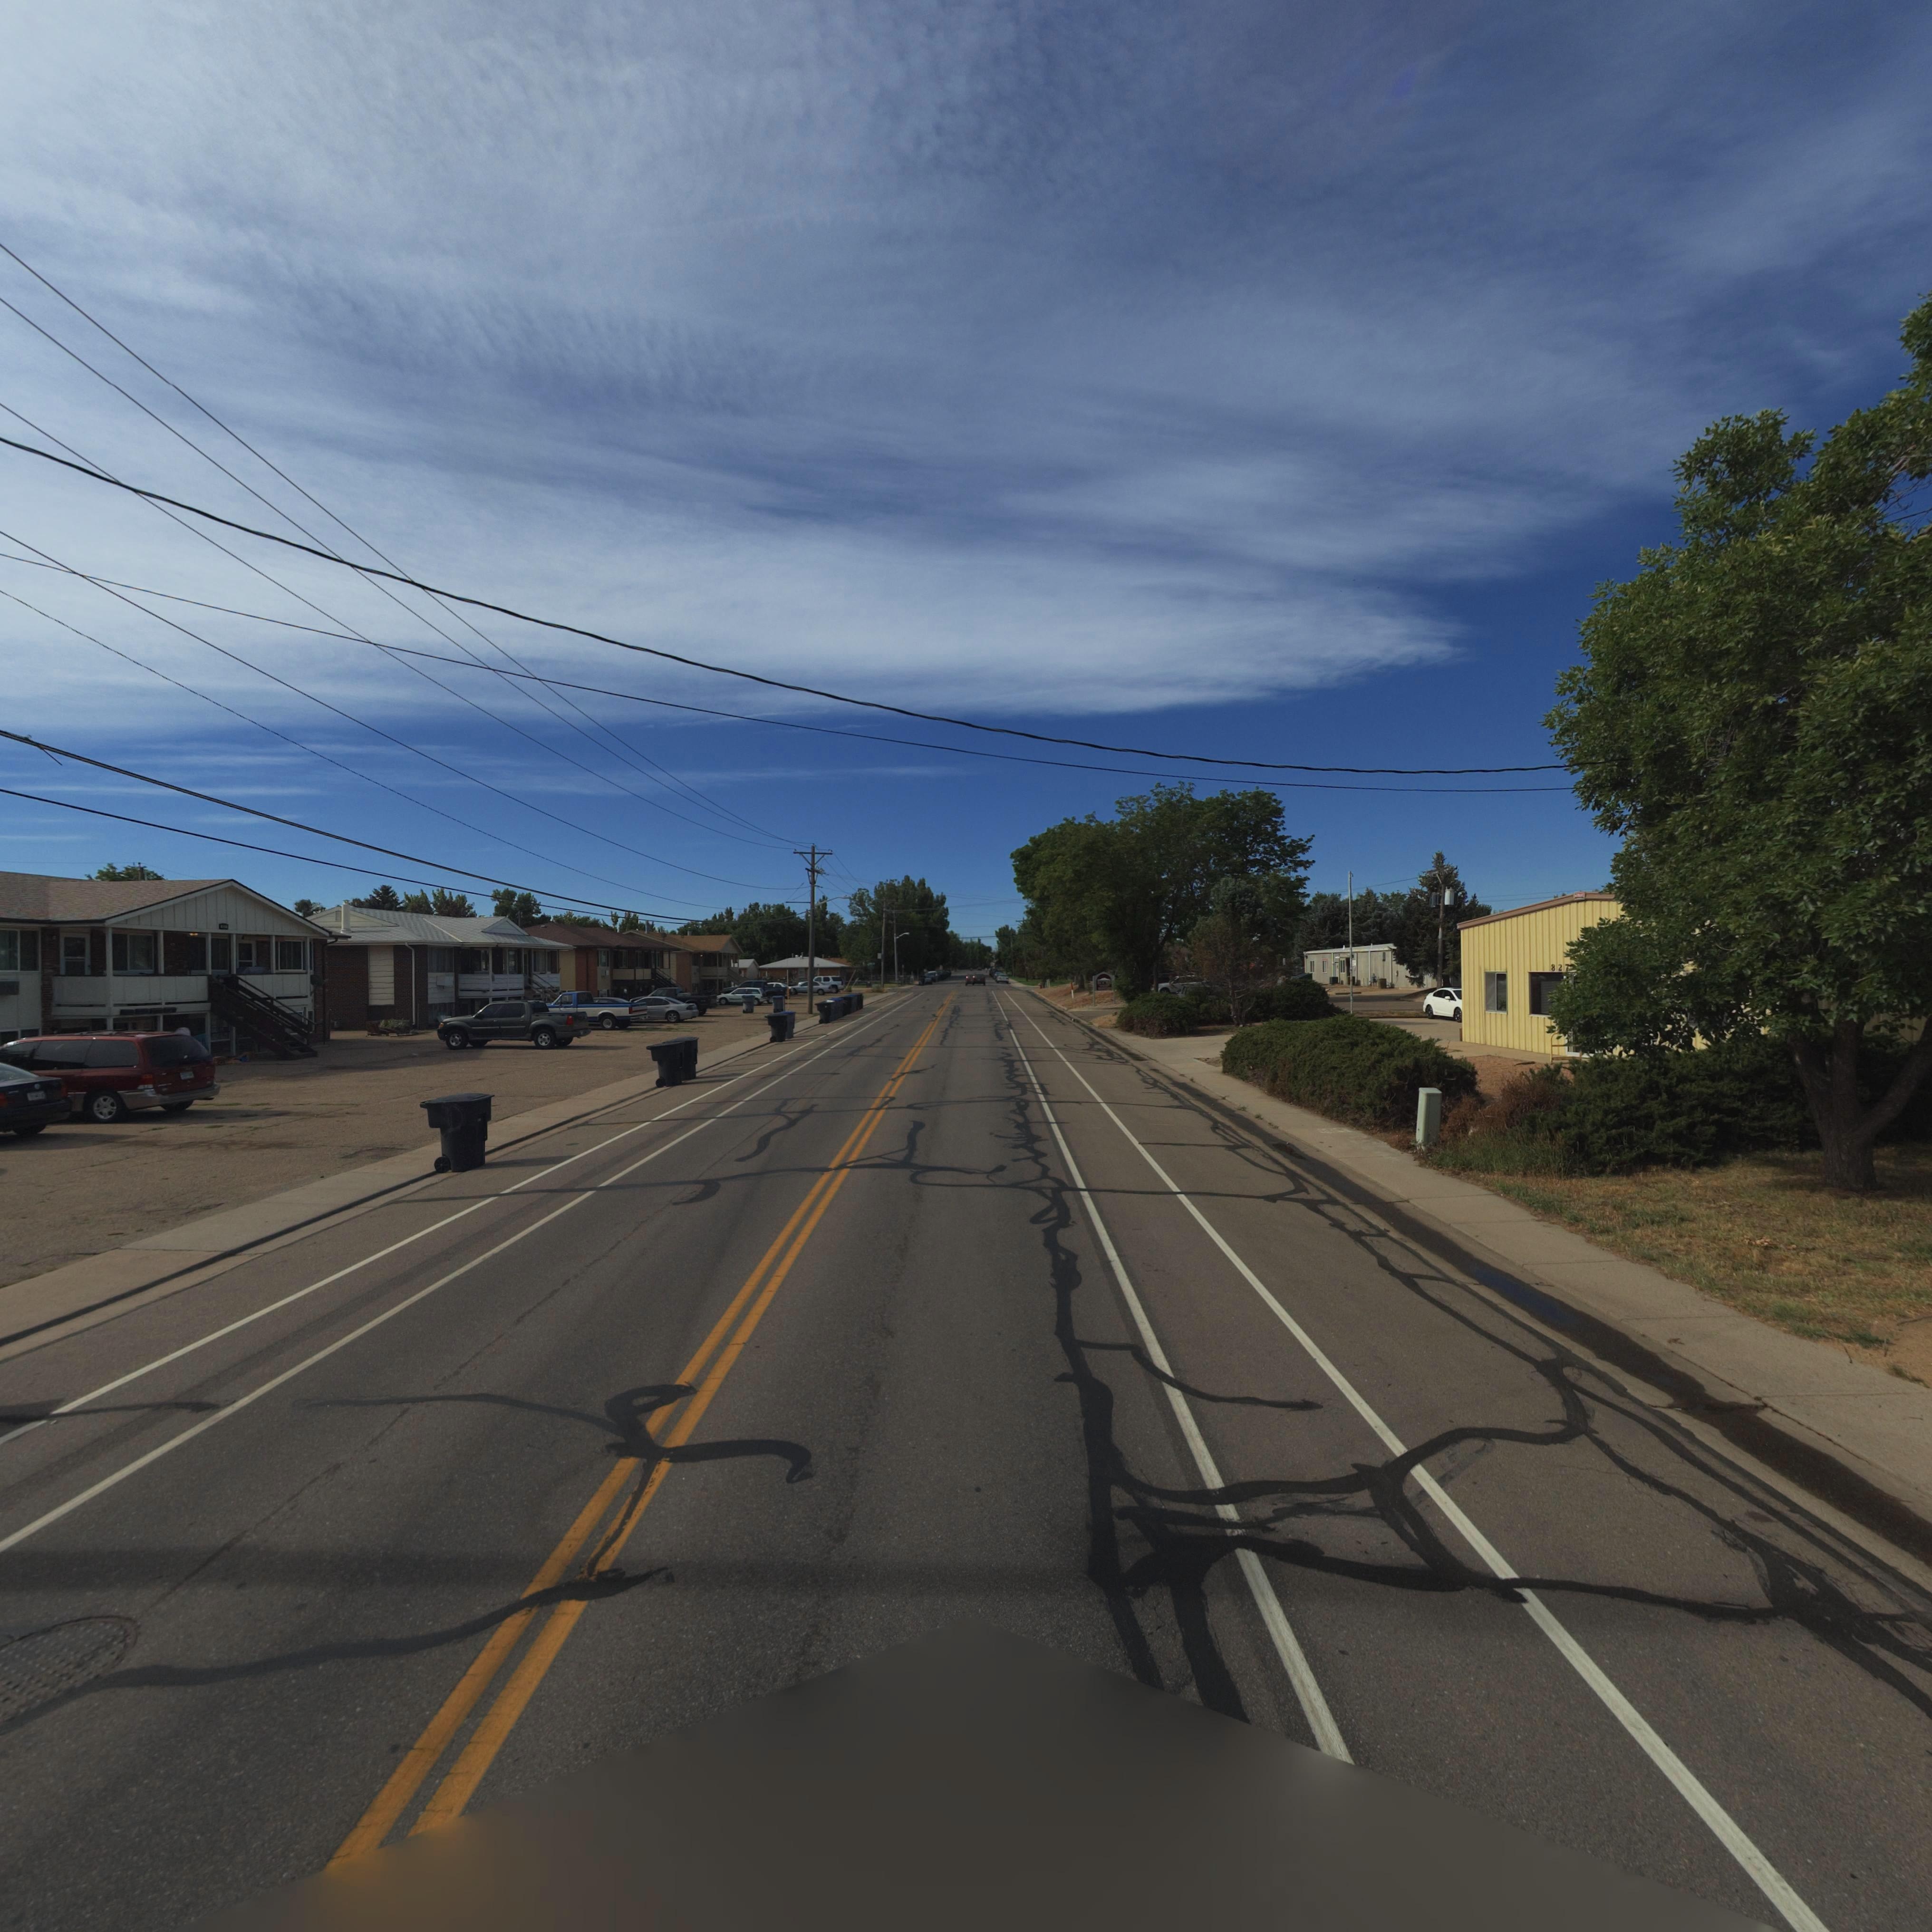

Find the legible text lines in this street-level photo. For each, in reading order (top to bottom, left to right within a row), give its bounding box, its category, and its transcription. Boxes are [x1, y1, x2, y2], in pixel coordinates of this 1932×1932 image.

[1551, 963, 1570, 972] StreetNumber: 827